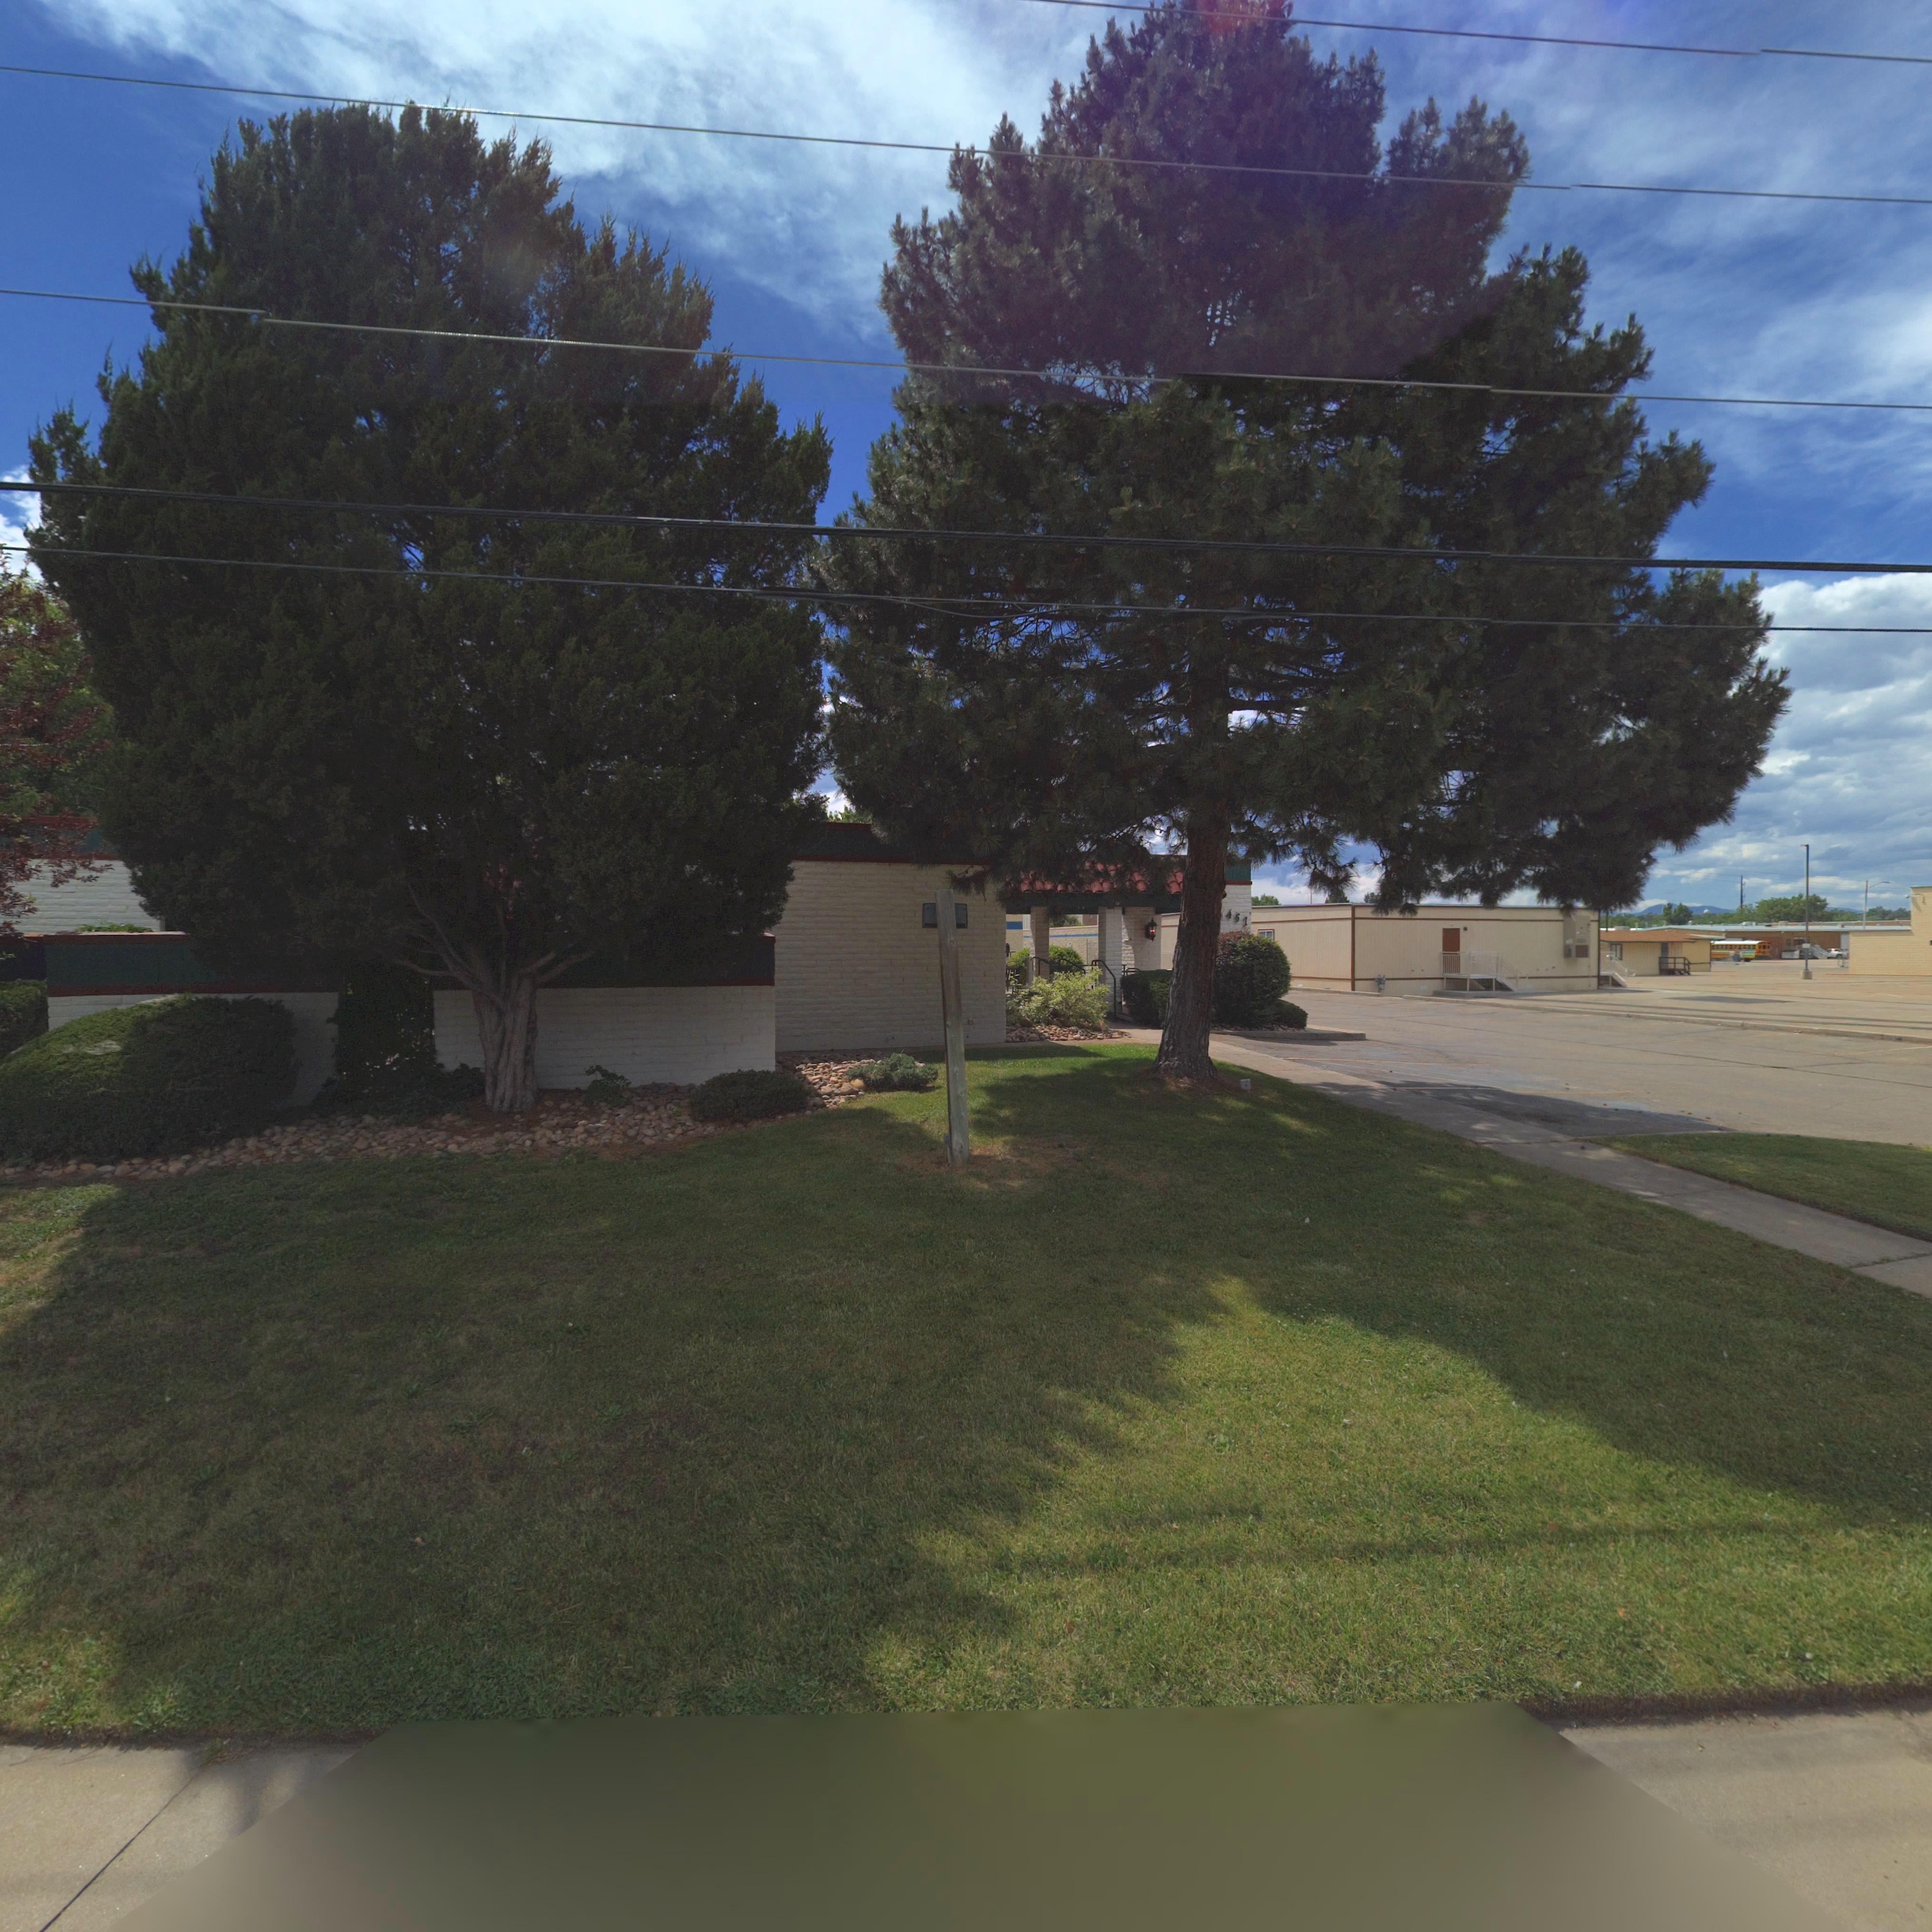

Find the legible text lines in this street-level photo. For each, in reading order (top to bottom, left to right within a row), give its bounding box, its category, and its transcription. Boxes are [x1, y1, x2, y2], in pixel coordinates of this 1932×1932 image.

[1227, 908, 1247, 926] StreetNumber: 451